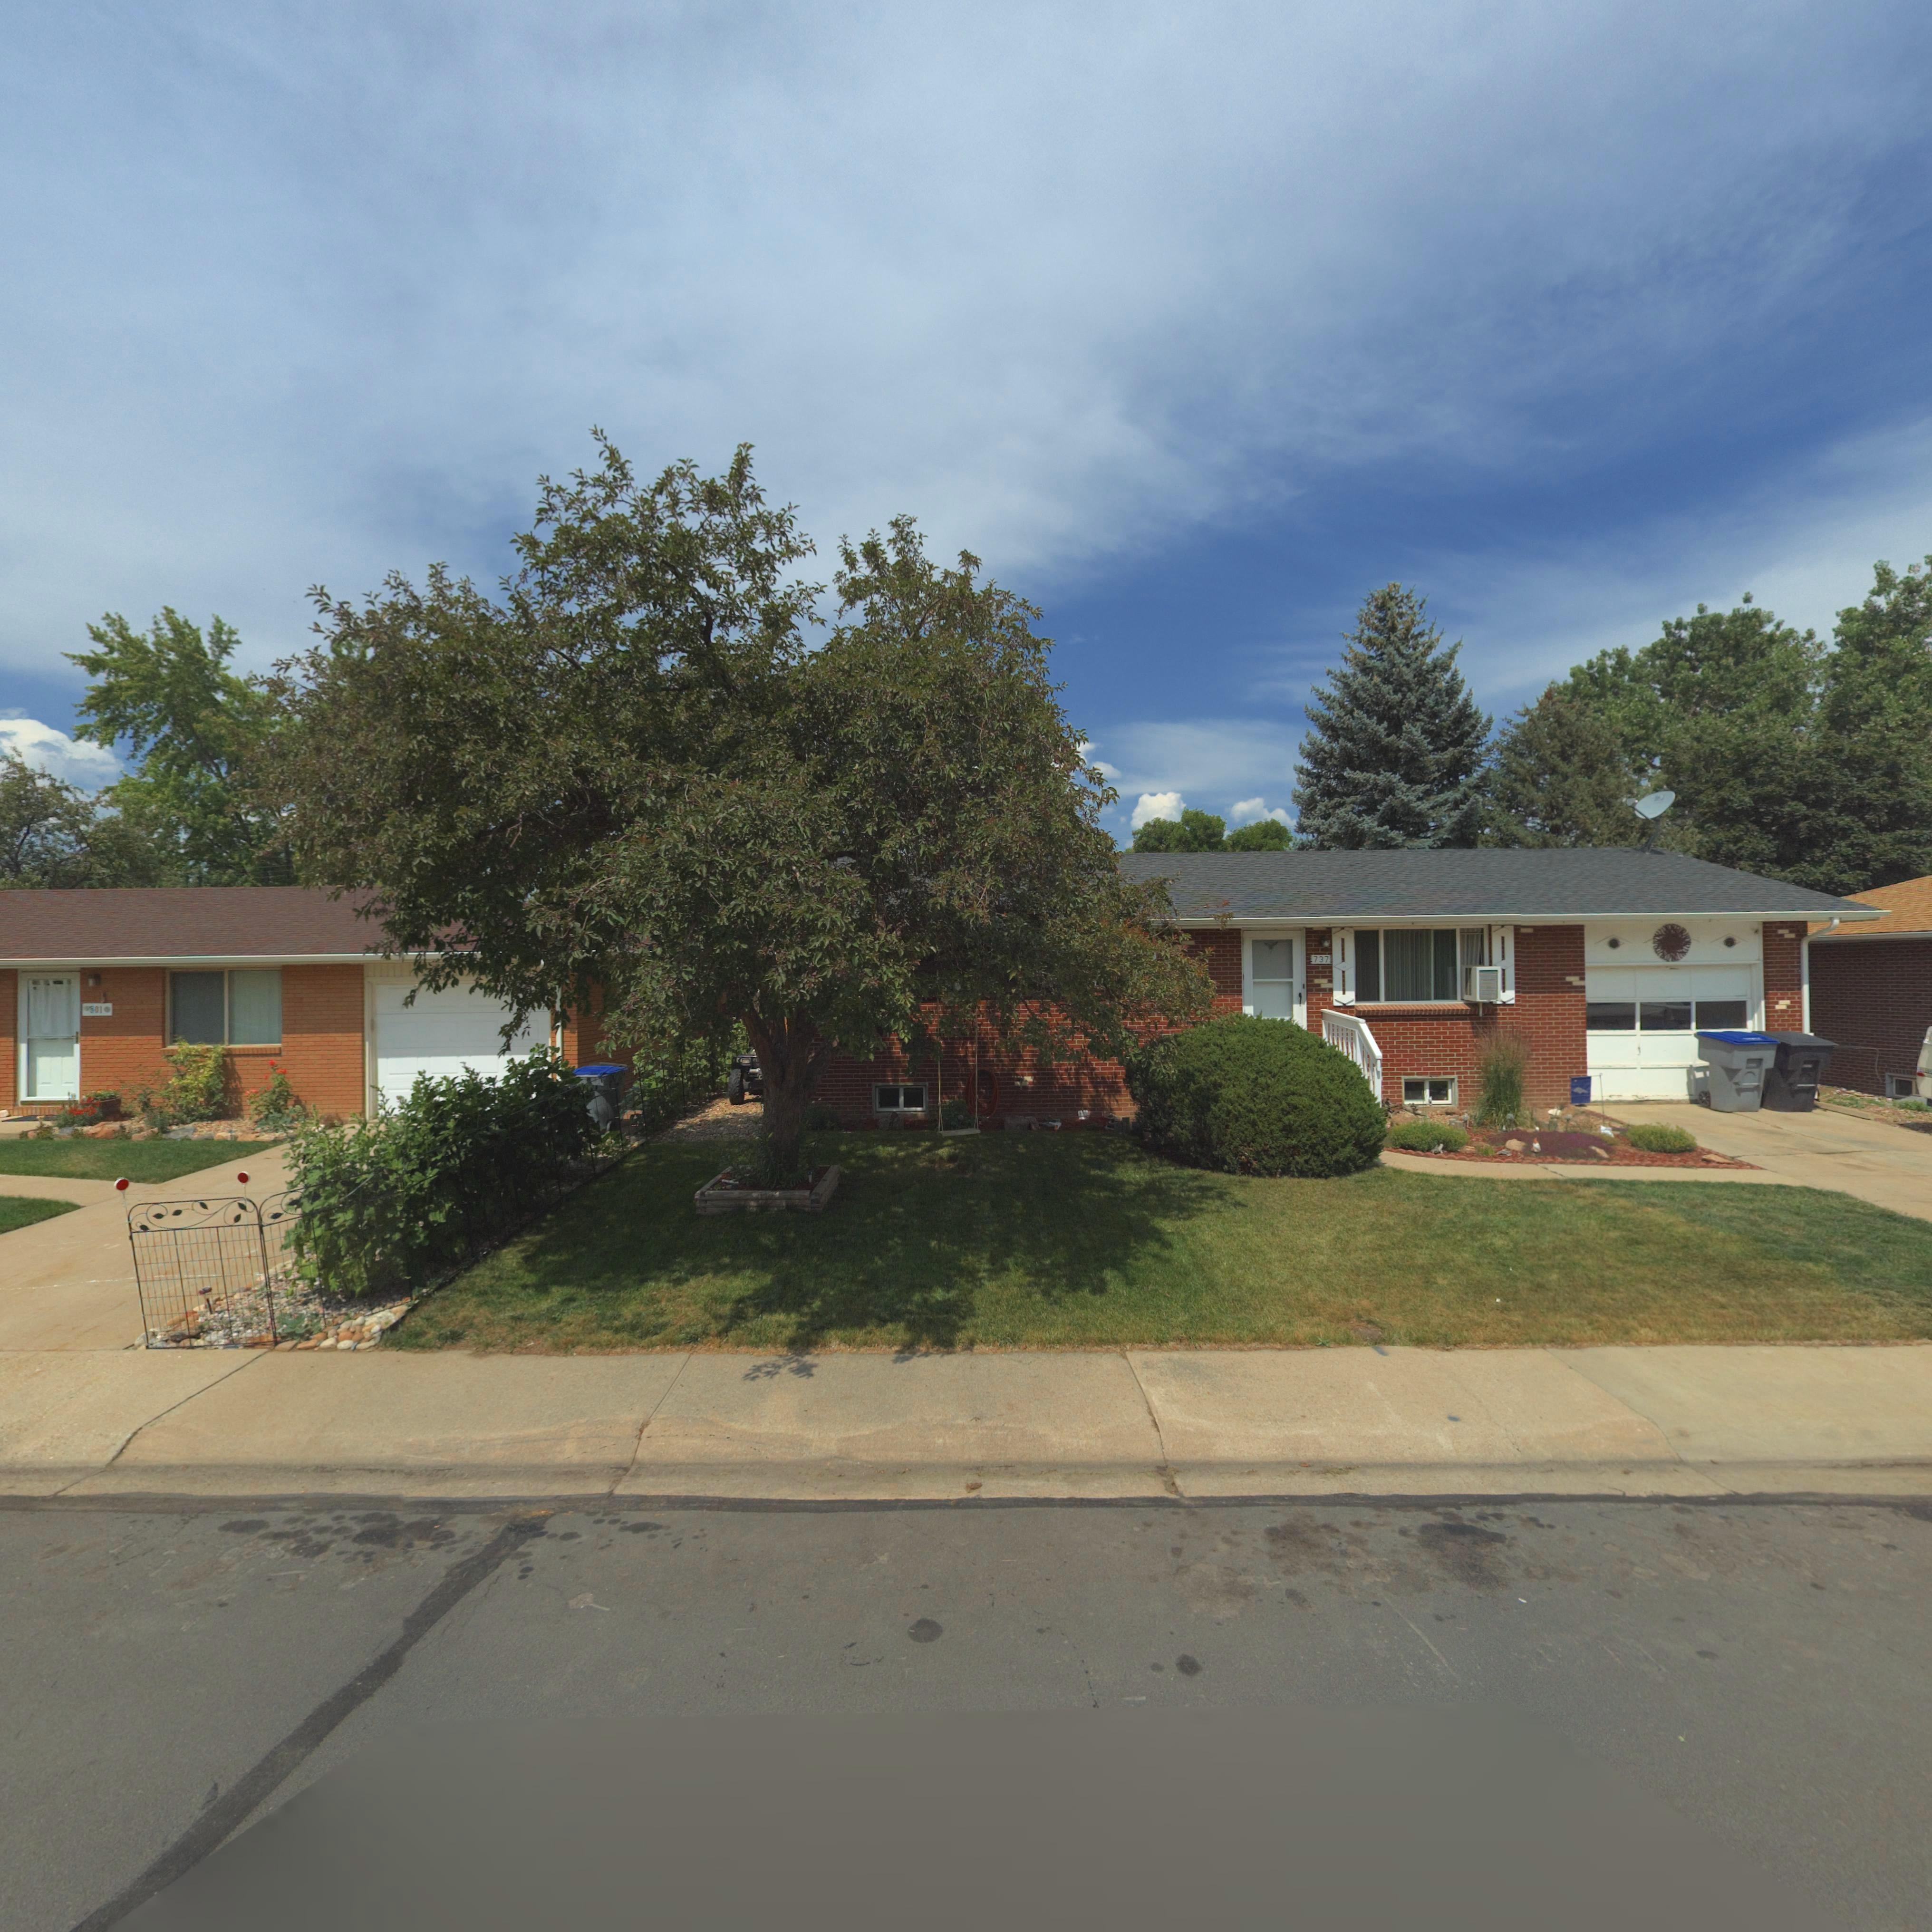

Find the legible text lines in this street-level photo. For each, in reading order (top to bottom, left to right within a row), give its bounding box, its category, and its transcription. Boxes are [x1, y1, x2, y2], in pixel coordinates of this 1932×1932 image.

[1312, 955, 1329, 963] StreetNumber: 737
[84, 1005, 103, 1014] StreetNumber: *301